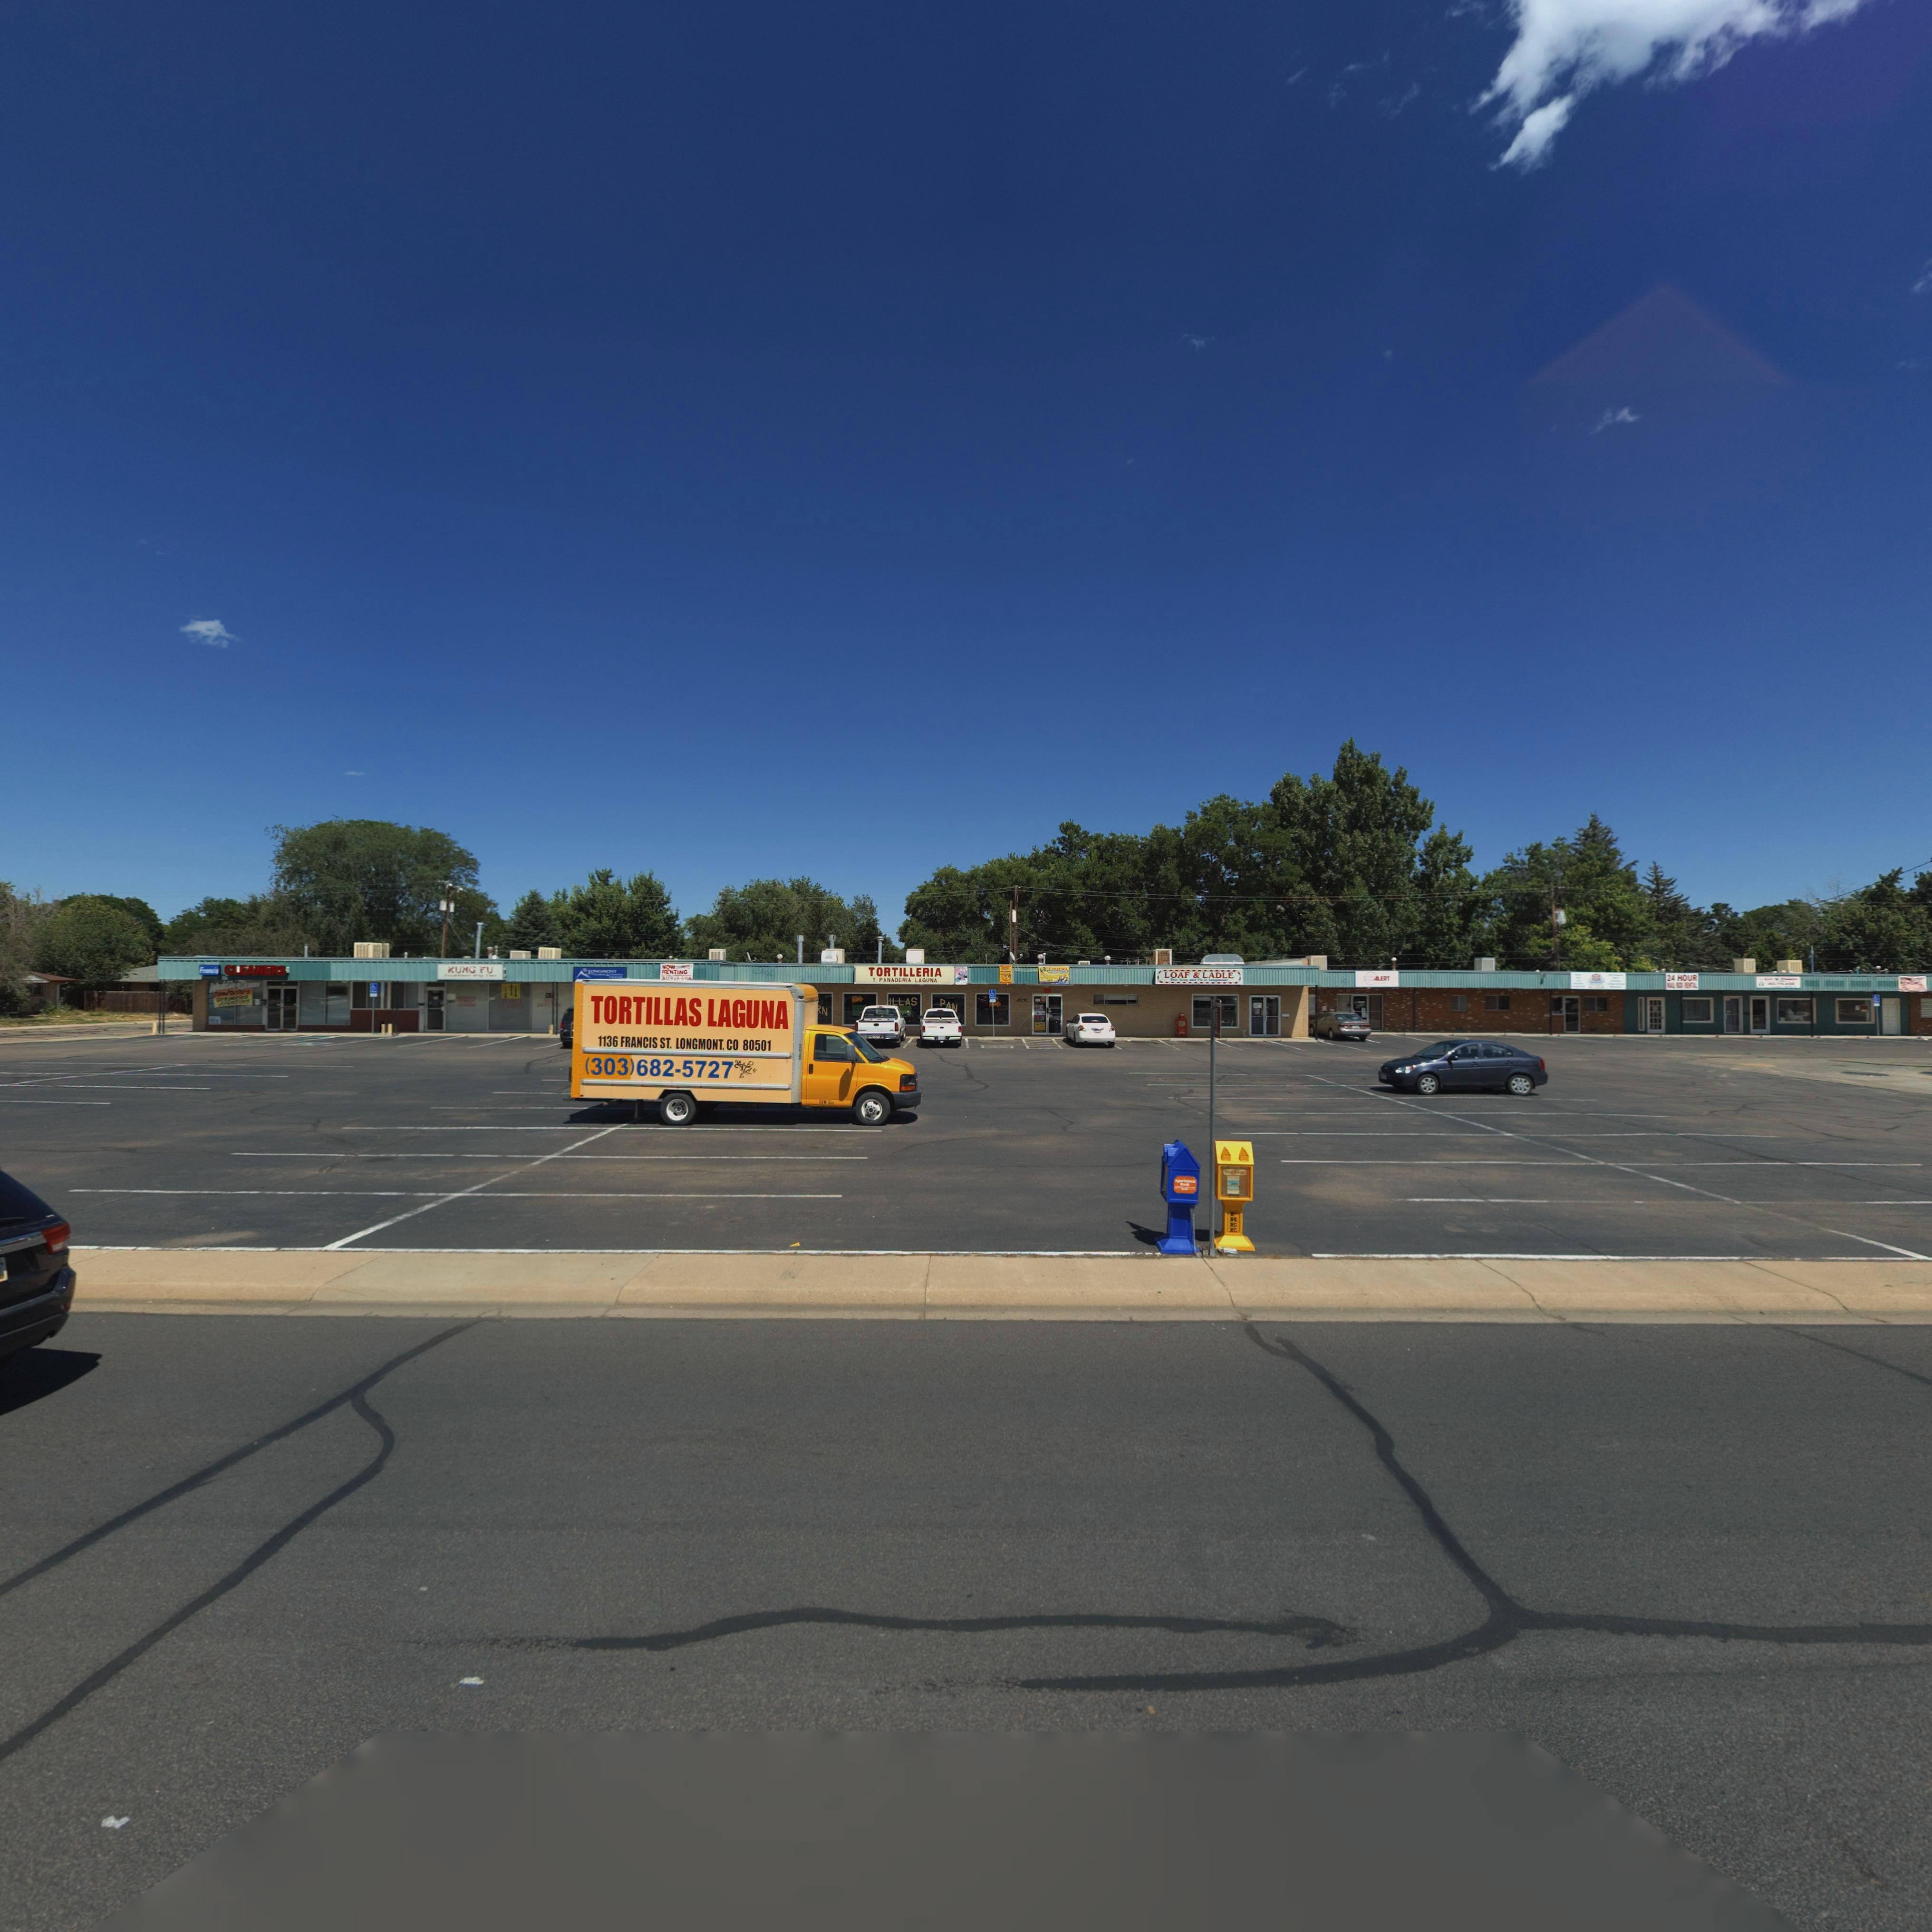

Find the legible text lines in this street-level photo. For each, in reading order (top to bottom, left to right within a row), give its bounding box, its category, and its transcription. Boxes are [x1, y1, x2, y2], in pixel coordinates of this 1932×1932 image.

[868, 966, 942, 977] BusinessName: TORTILLERIA
[1164, 972, 1234, 978] BusinessName: LOAF & LADLE
[1372, 976, 1390, 981] BusinessName: ALERT